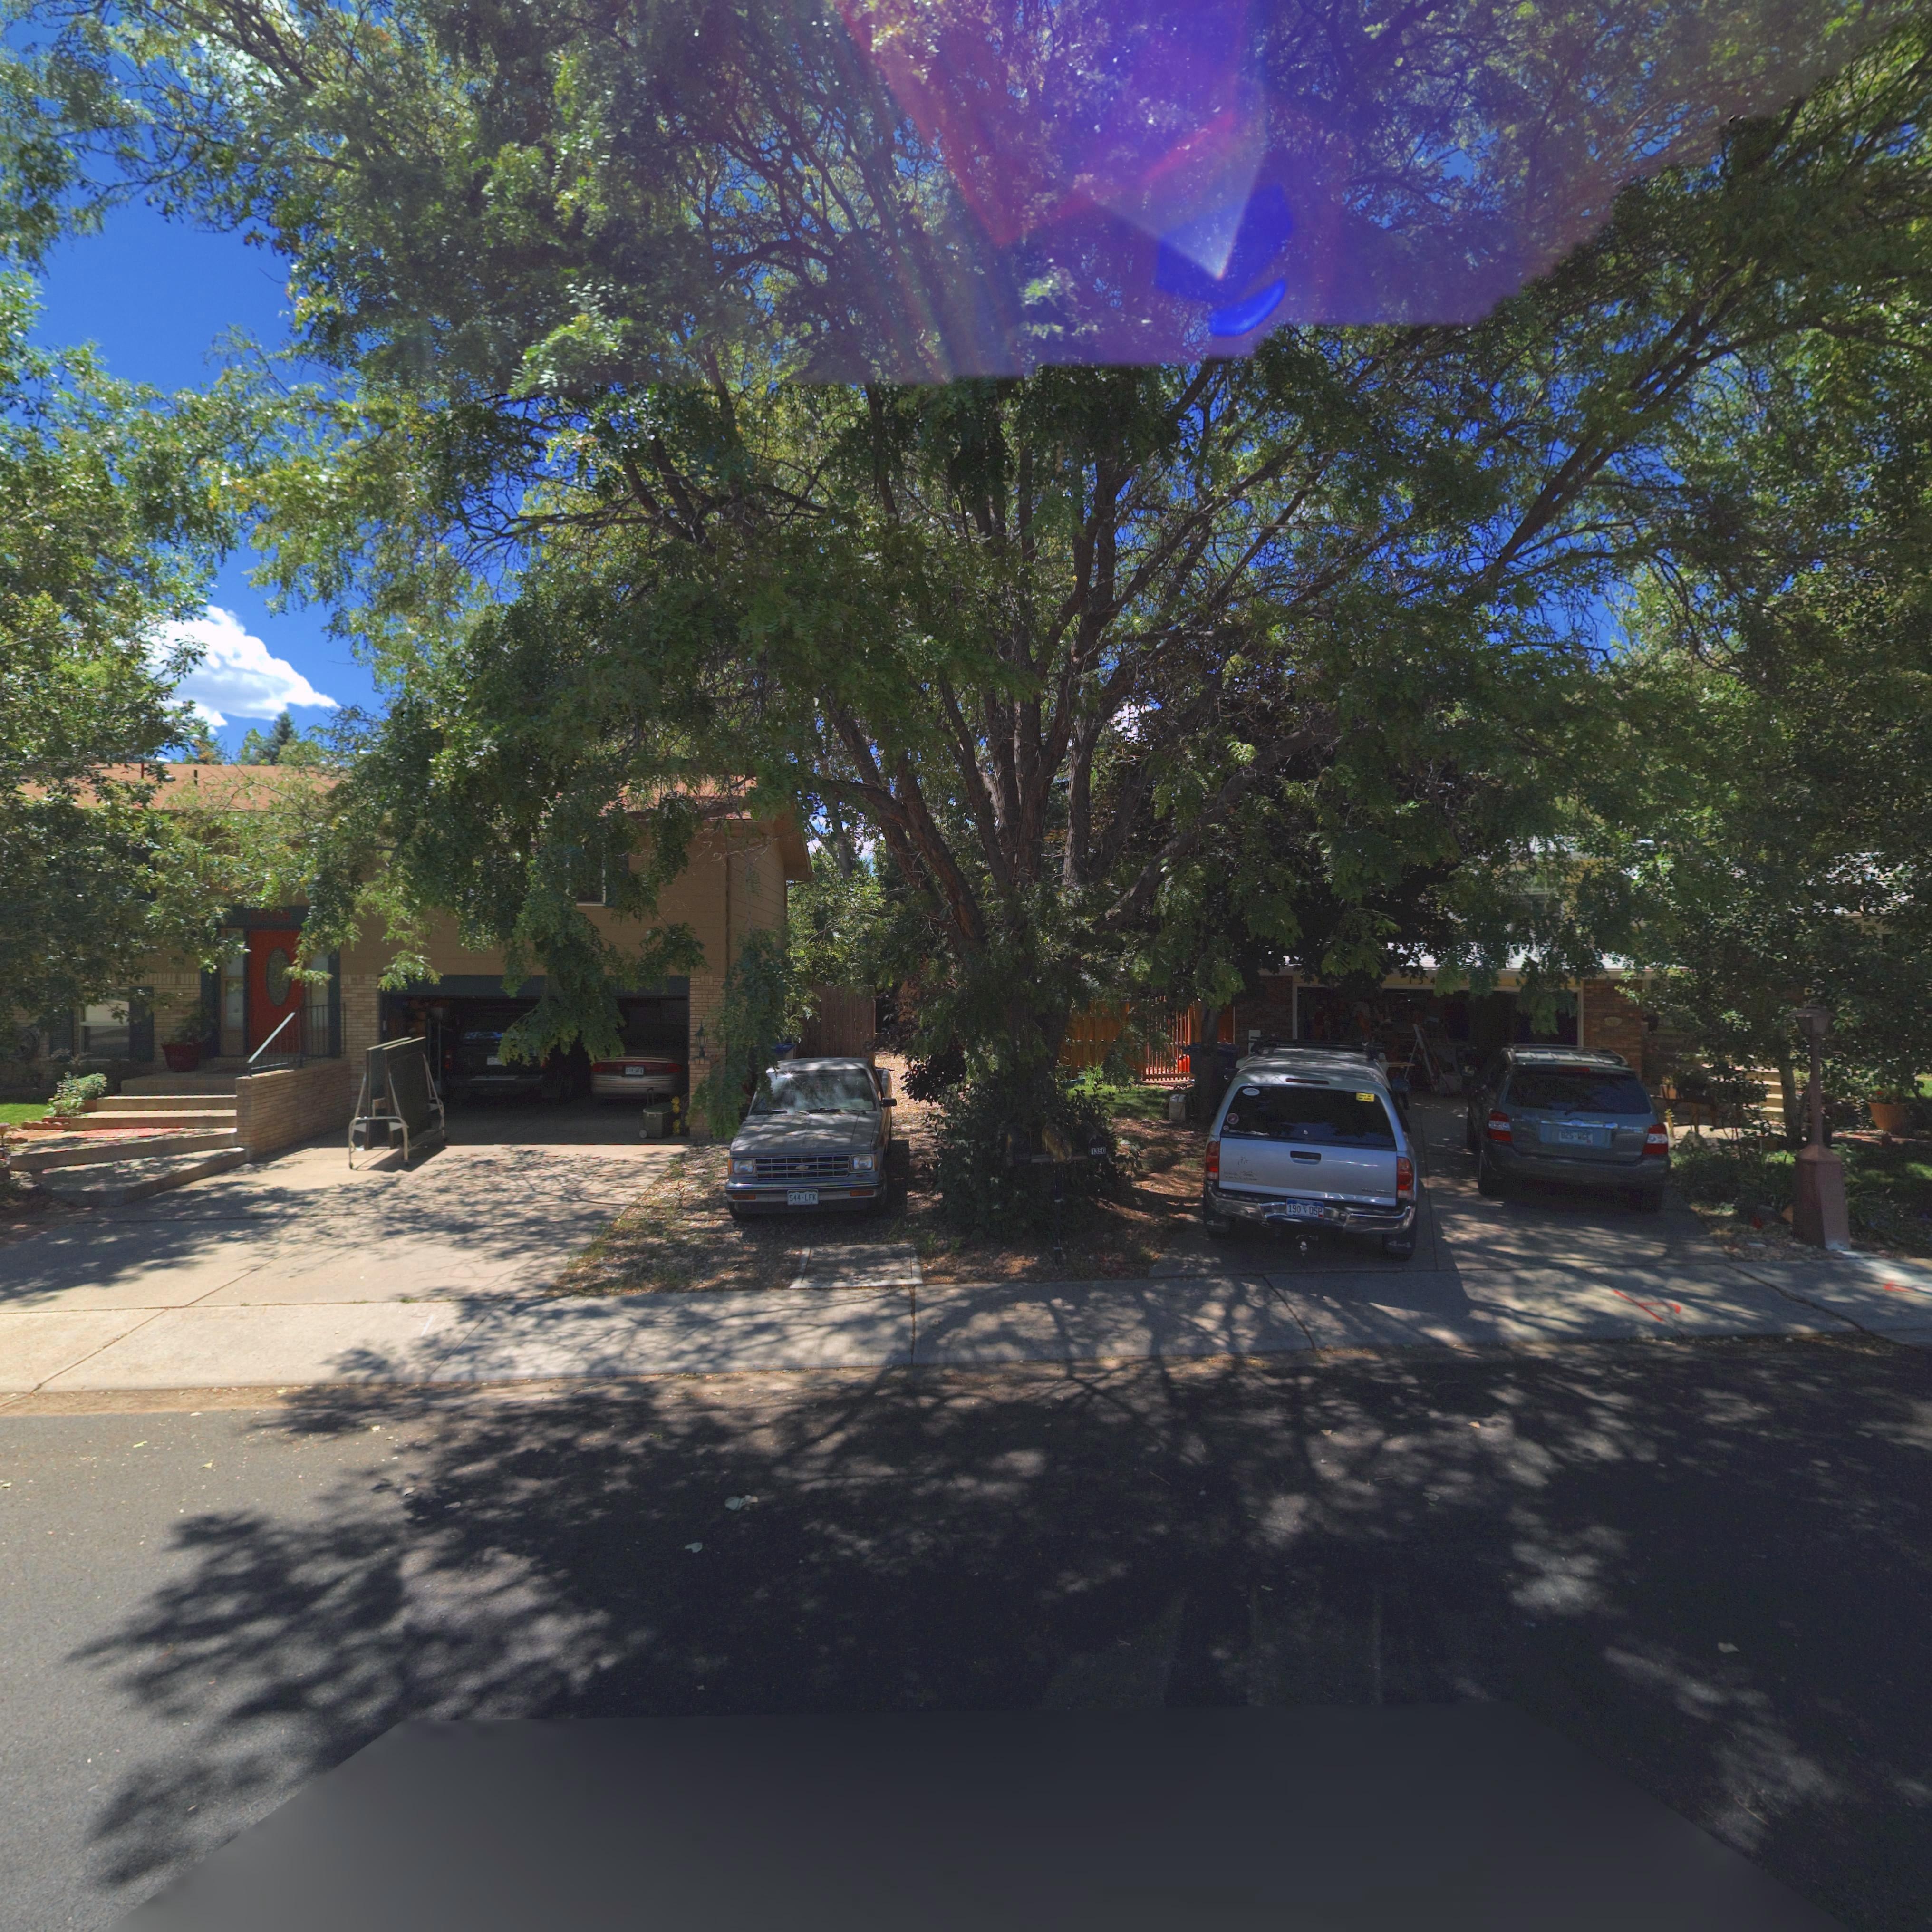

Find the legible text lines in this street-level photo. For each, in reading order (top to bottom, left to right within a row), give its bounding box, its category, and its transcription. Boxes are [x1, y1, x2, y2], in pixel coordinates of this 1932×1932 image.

[1092, 1147, 1105, 1154] StreetNumber: 1350